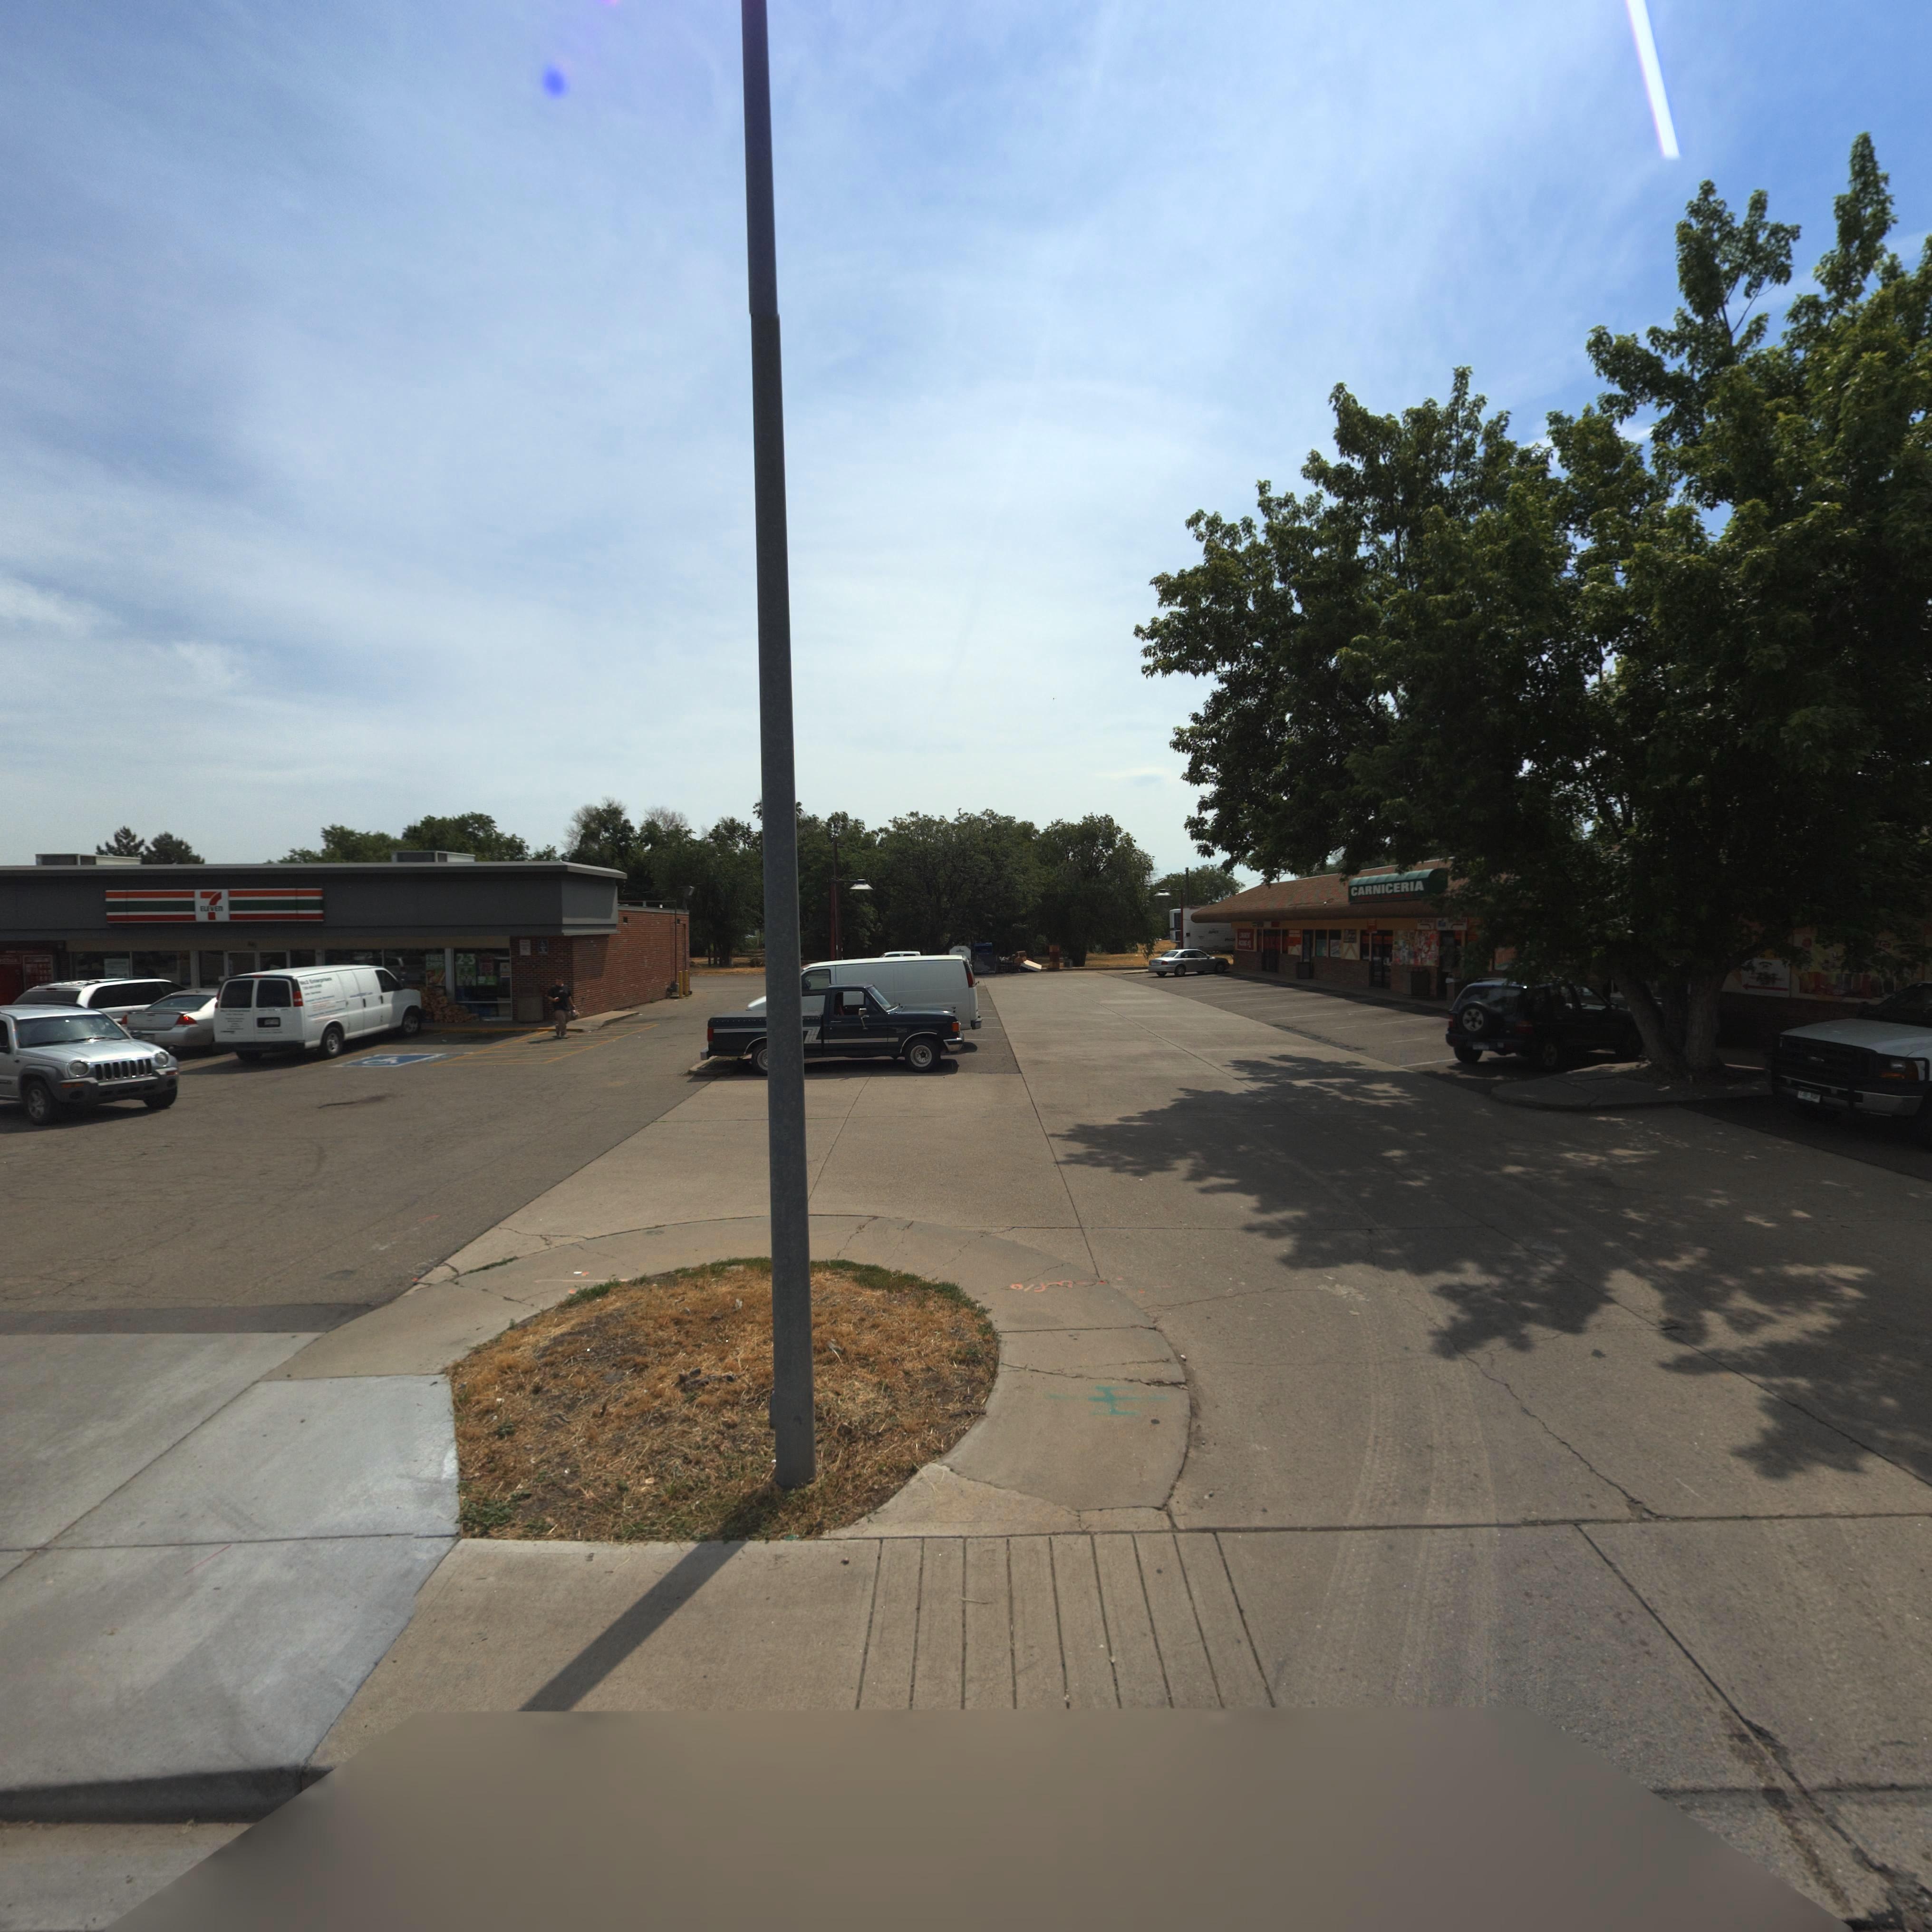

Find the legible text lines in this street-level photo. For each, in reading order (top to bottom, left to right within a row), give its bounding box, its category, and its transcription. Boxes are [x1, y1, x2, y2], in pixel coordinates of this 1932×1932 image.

[1351, 879, 1425, 896] BusinessName: CARNICERIA
[199, 890, 222, 920] BusinessName: 7
[199, 905, 223, 912] BusinessName: ELEVEn